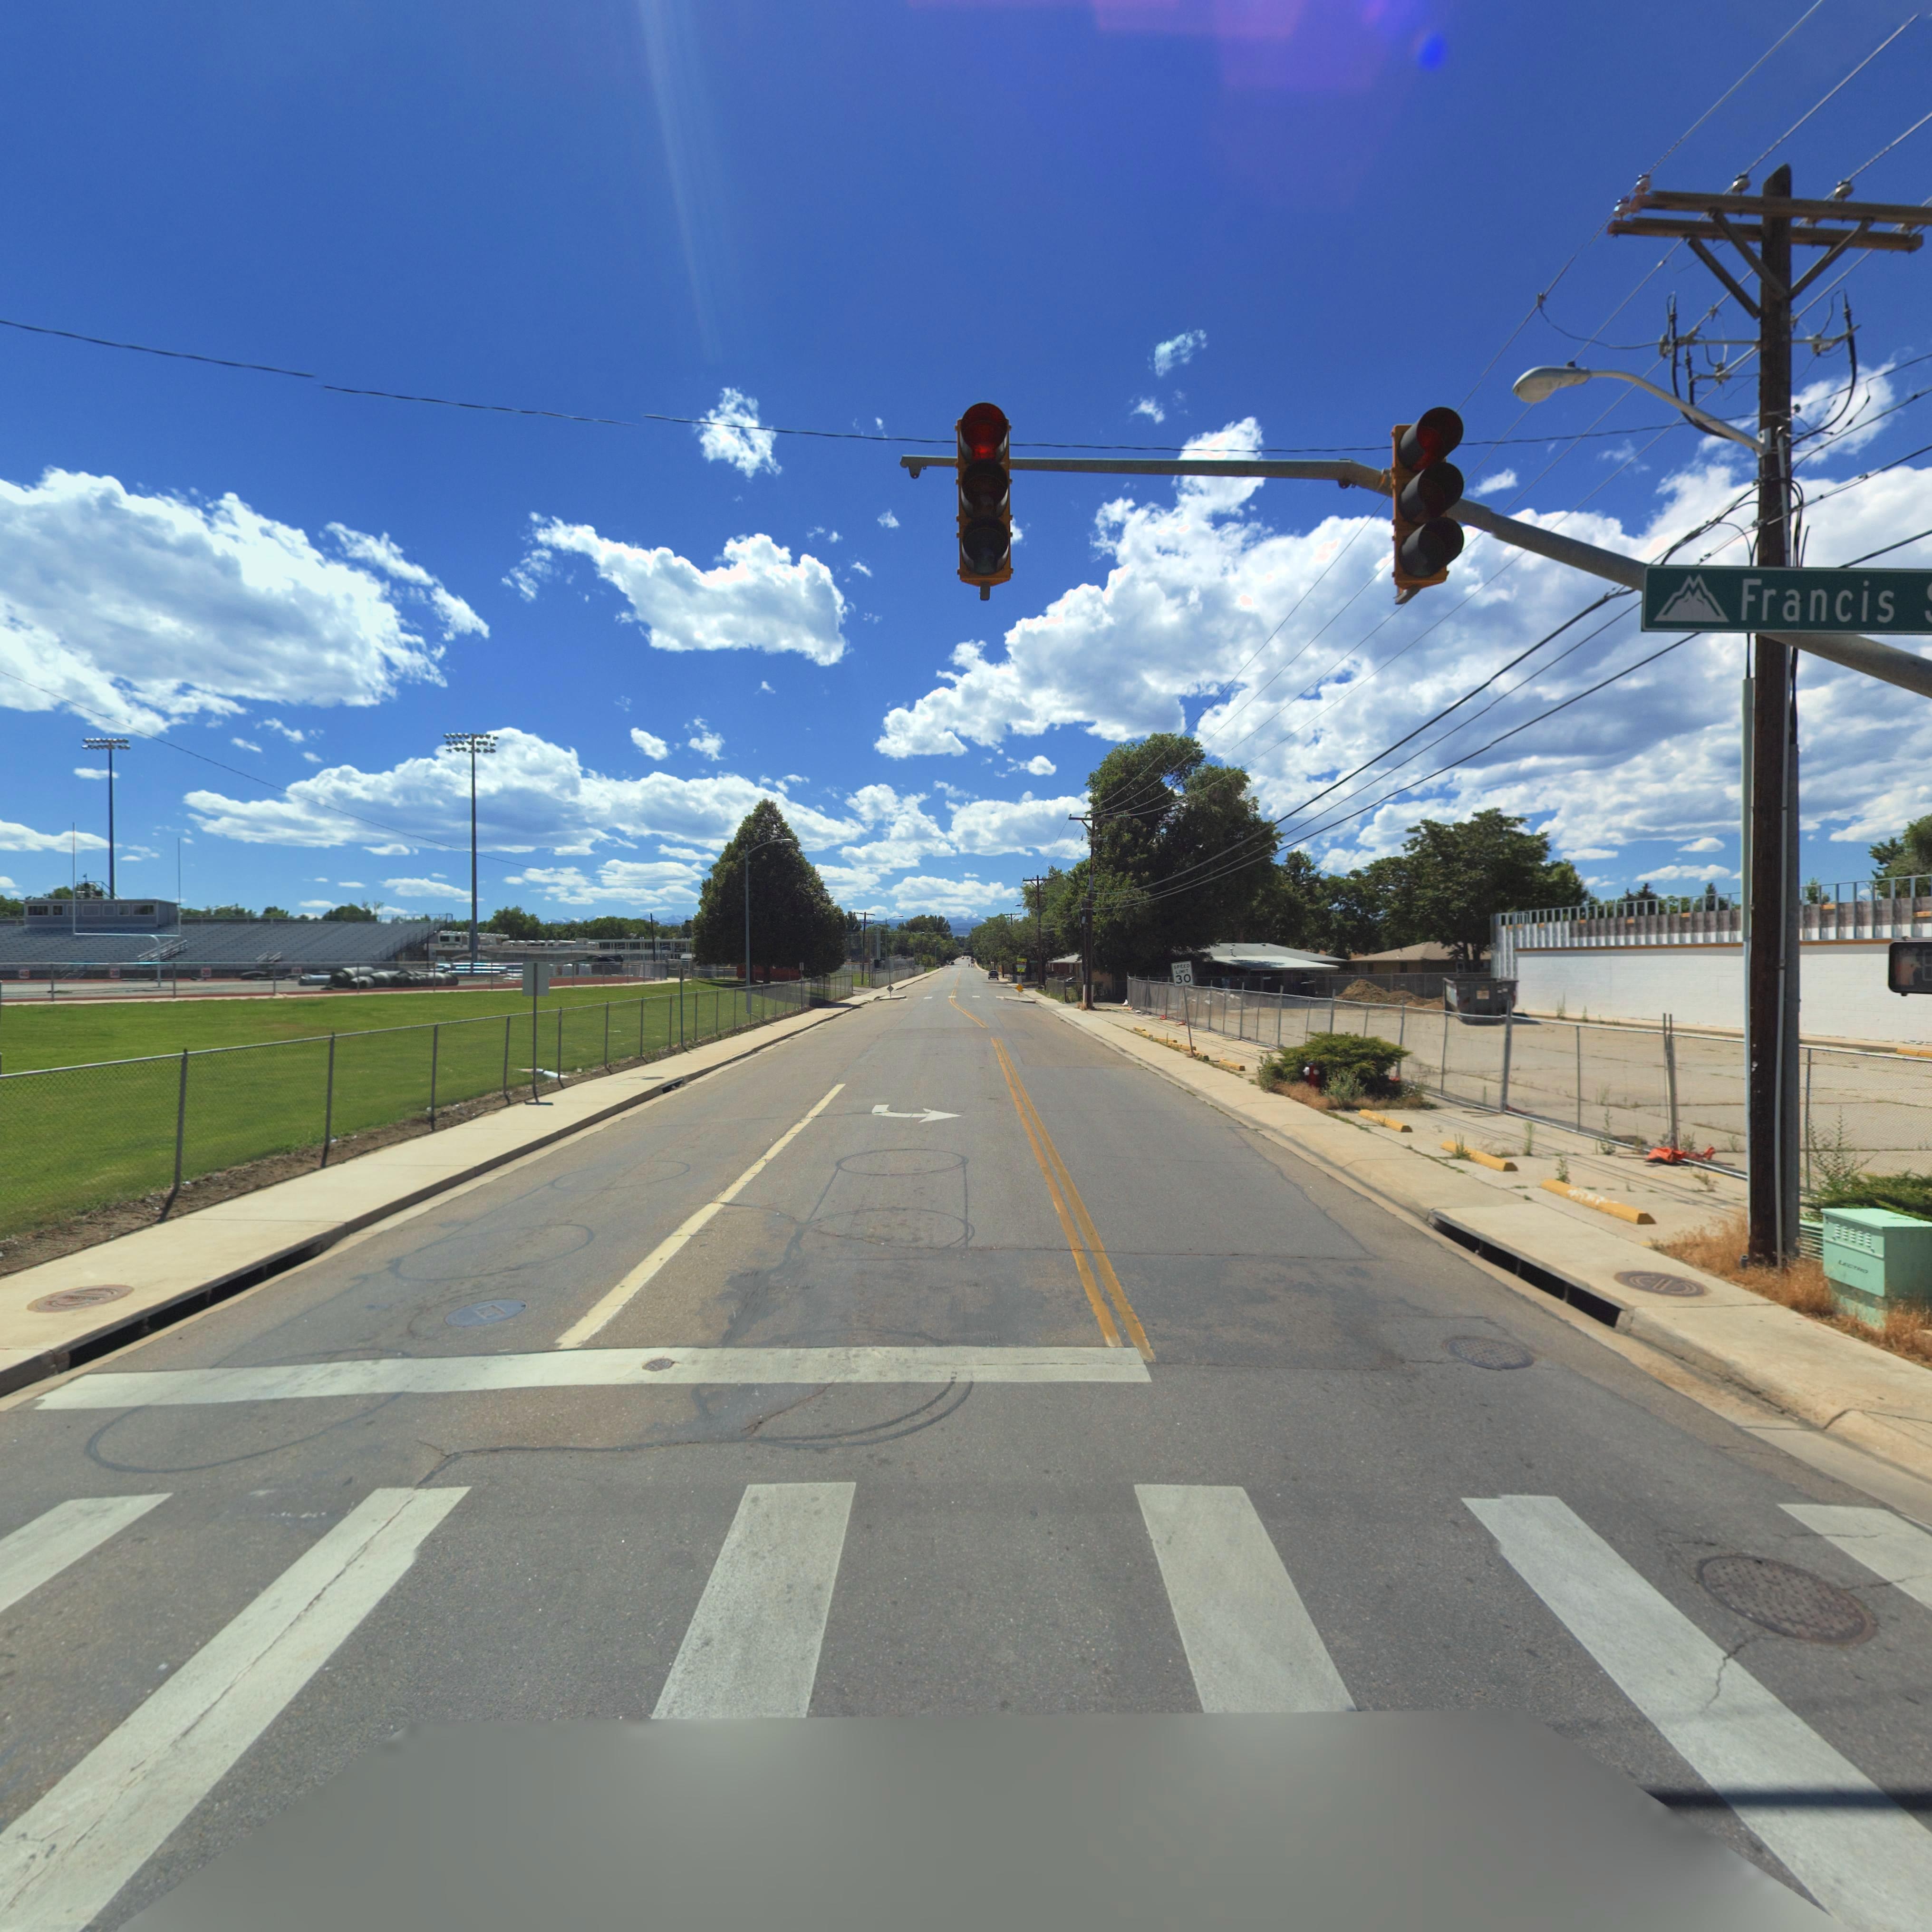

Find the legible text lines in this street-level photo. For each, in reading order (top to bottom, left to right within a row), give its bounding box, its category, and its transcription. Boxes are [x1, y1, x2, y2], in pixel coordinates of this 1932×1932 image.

[1739, 576, 1896, 626] StreetName: Francis